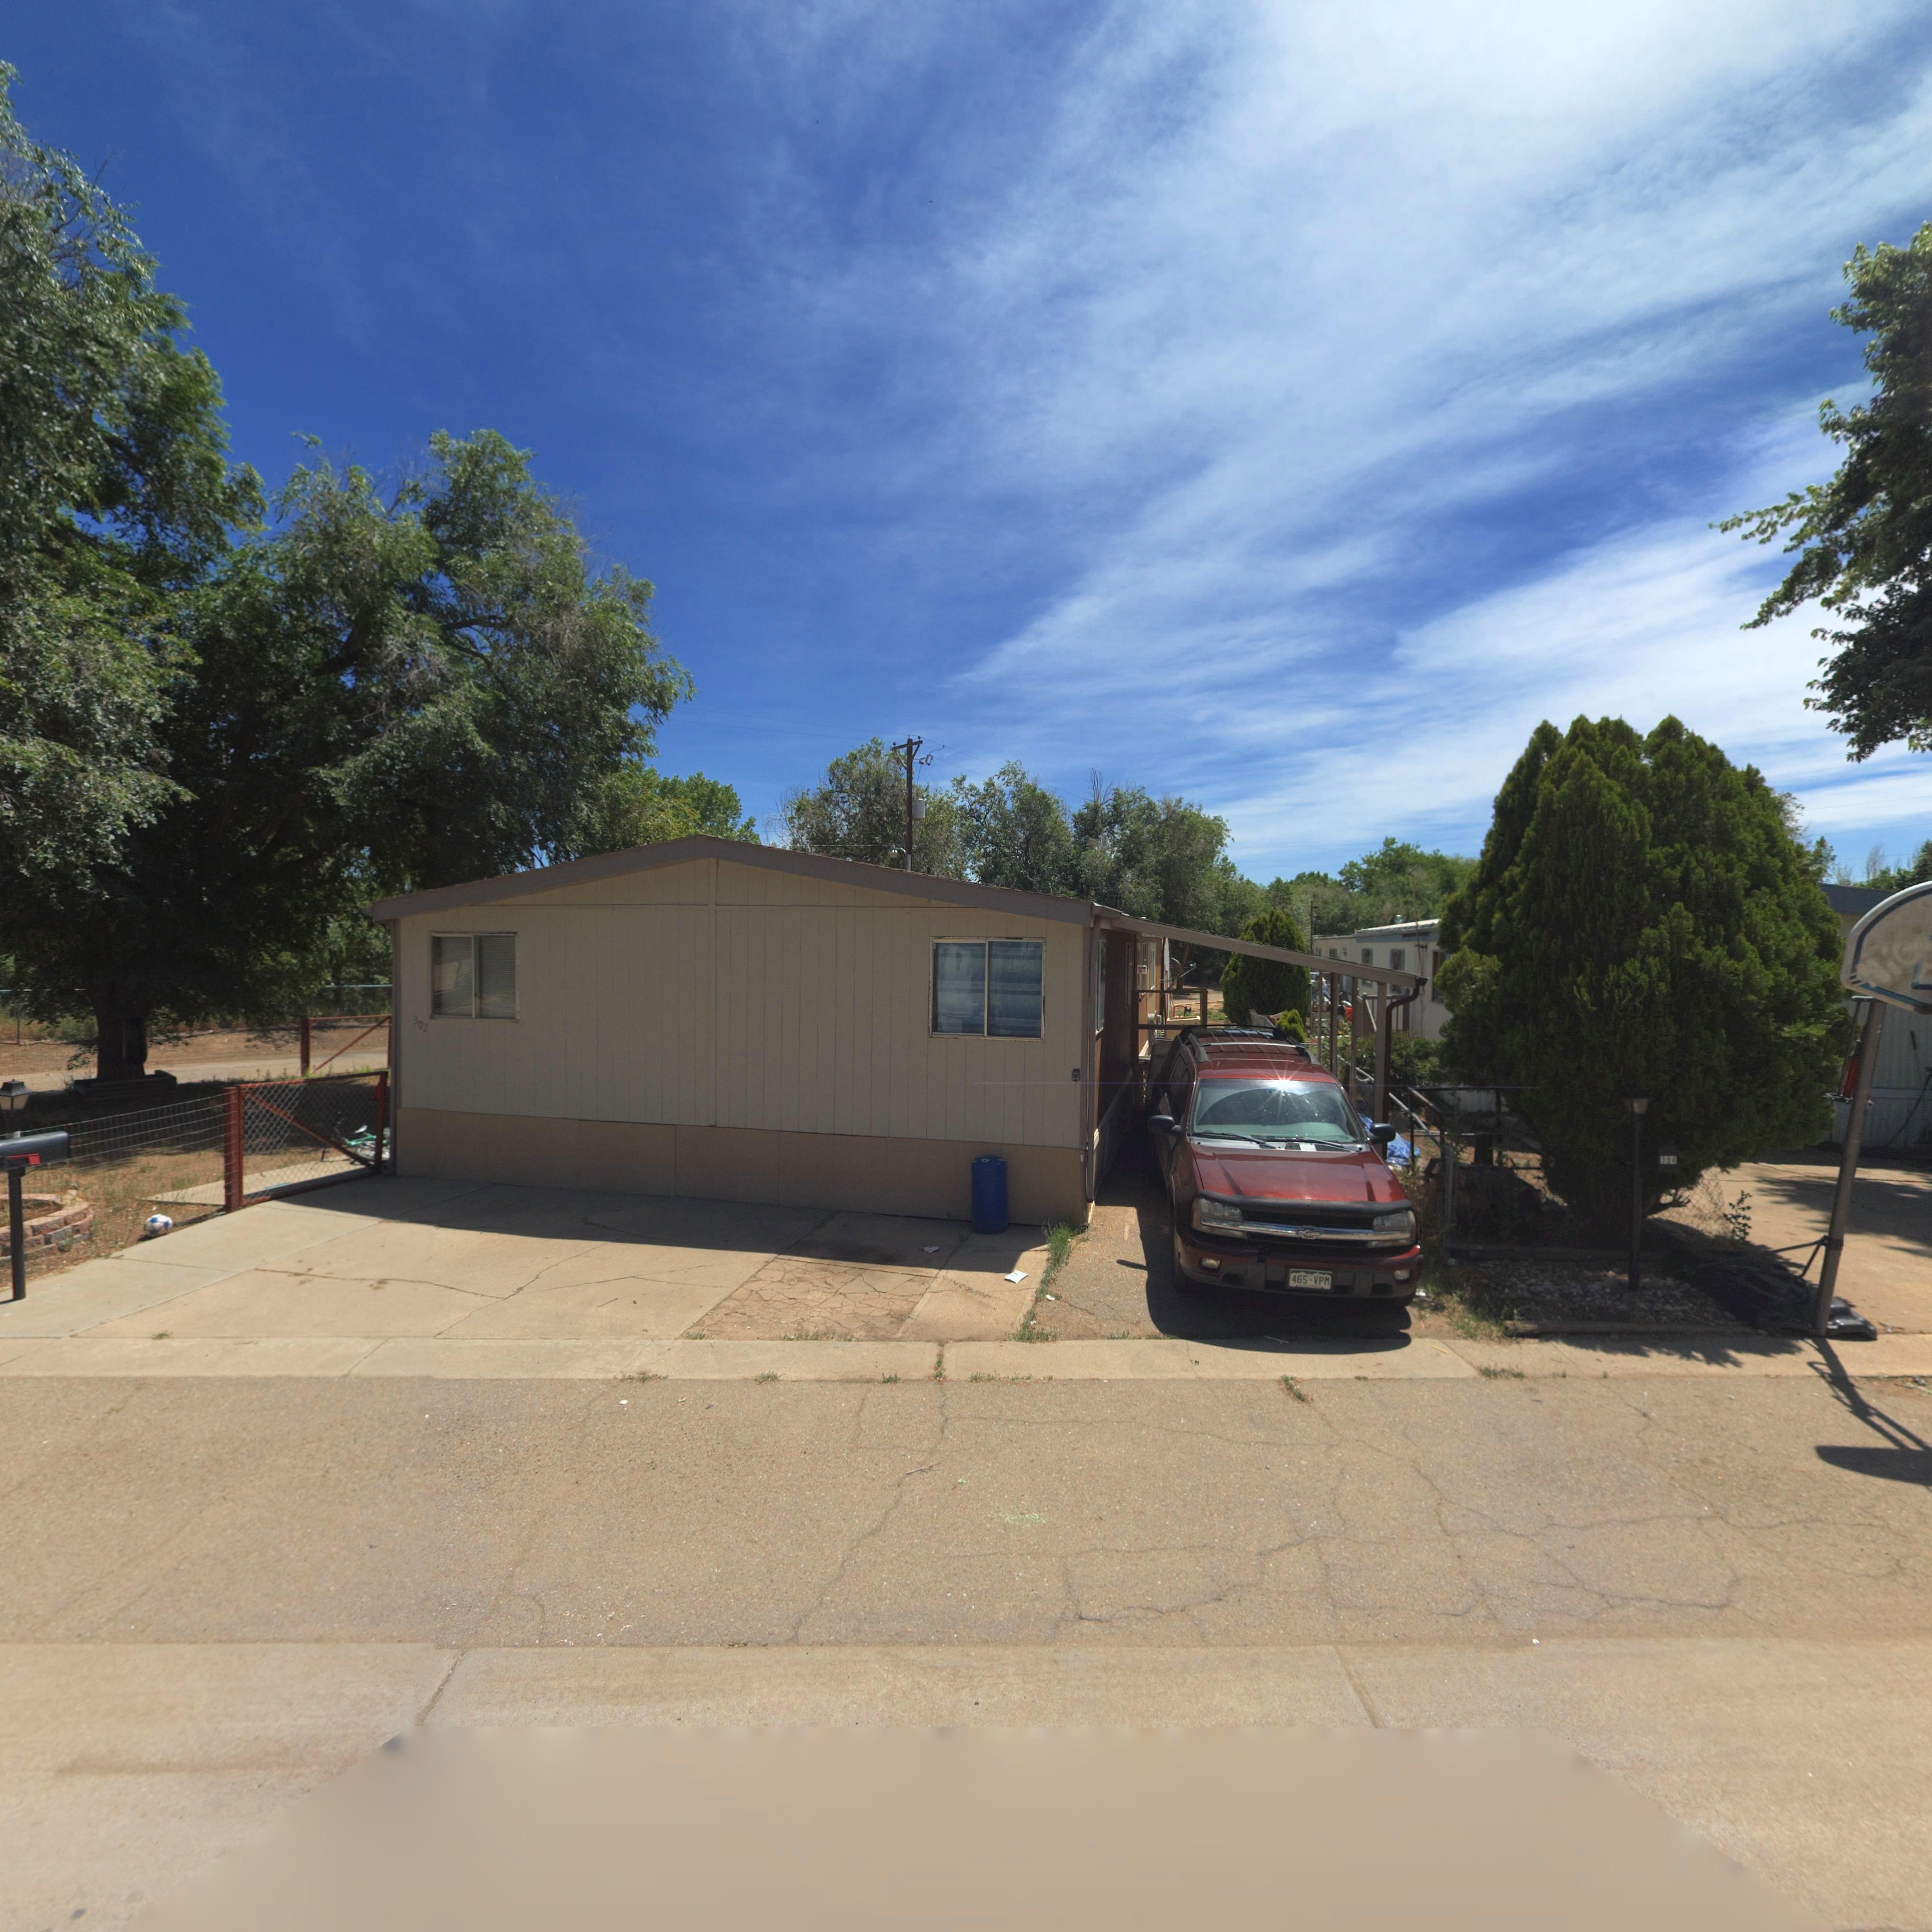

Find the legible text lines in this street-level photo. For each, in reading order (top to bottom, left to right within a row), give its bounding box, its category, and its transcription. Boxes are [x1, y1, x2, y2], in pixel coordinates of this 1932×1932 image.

[411, 1012, 429, 1033] StreetNumber: 302
[1660, 1156, 1676, 1164] StreetNumber: 304